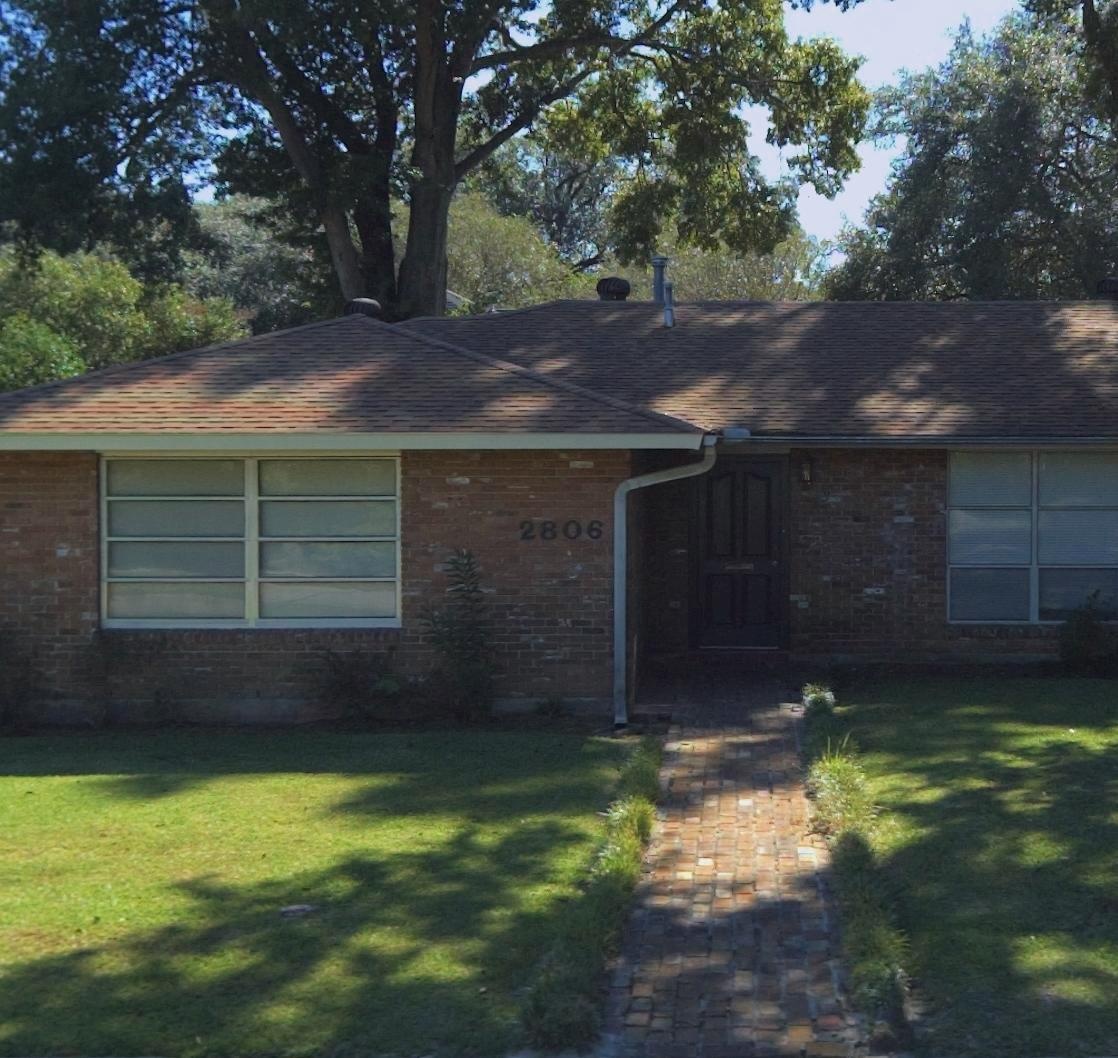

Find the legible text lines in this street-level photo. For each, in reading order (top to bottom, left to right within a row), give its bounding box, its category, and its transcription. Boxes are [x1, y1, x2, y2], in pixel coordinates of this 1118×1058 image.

[517, 518, 605, 542] StreetNumber: 2806